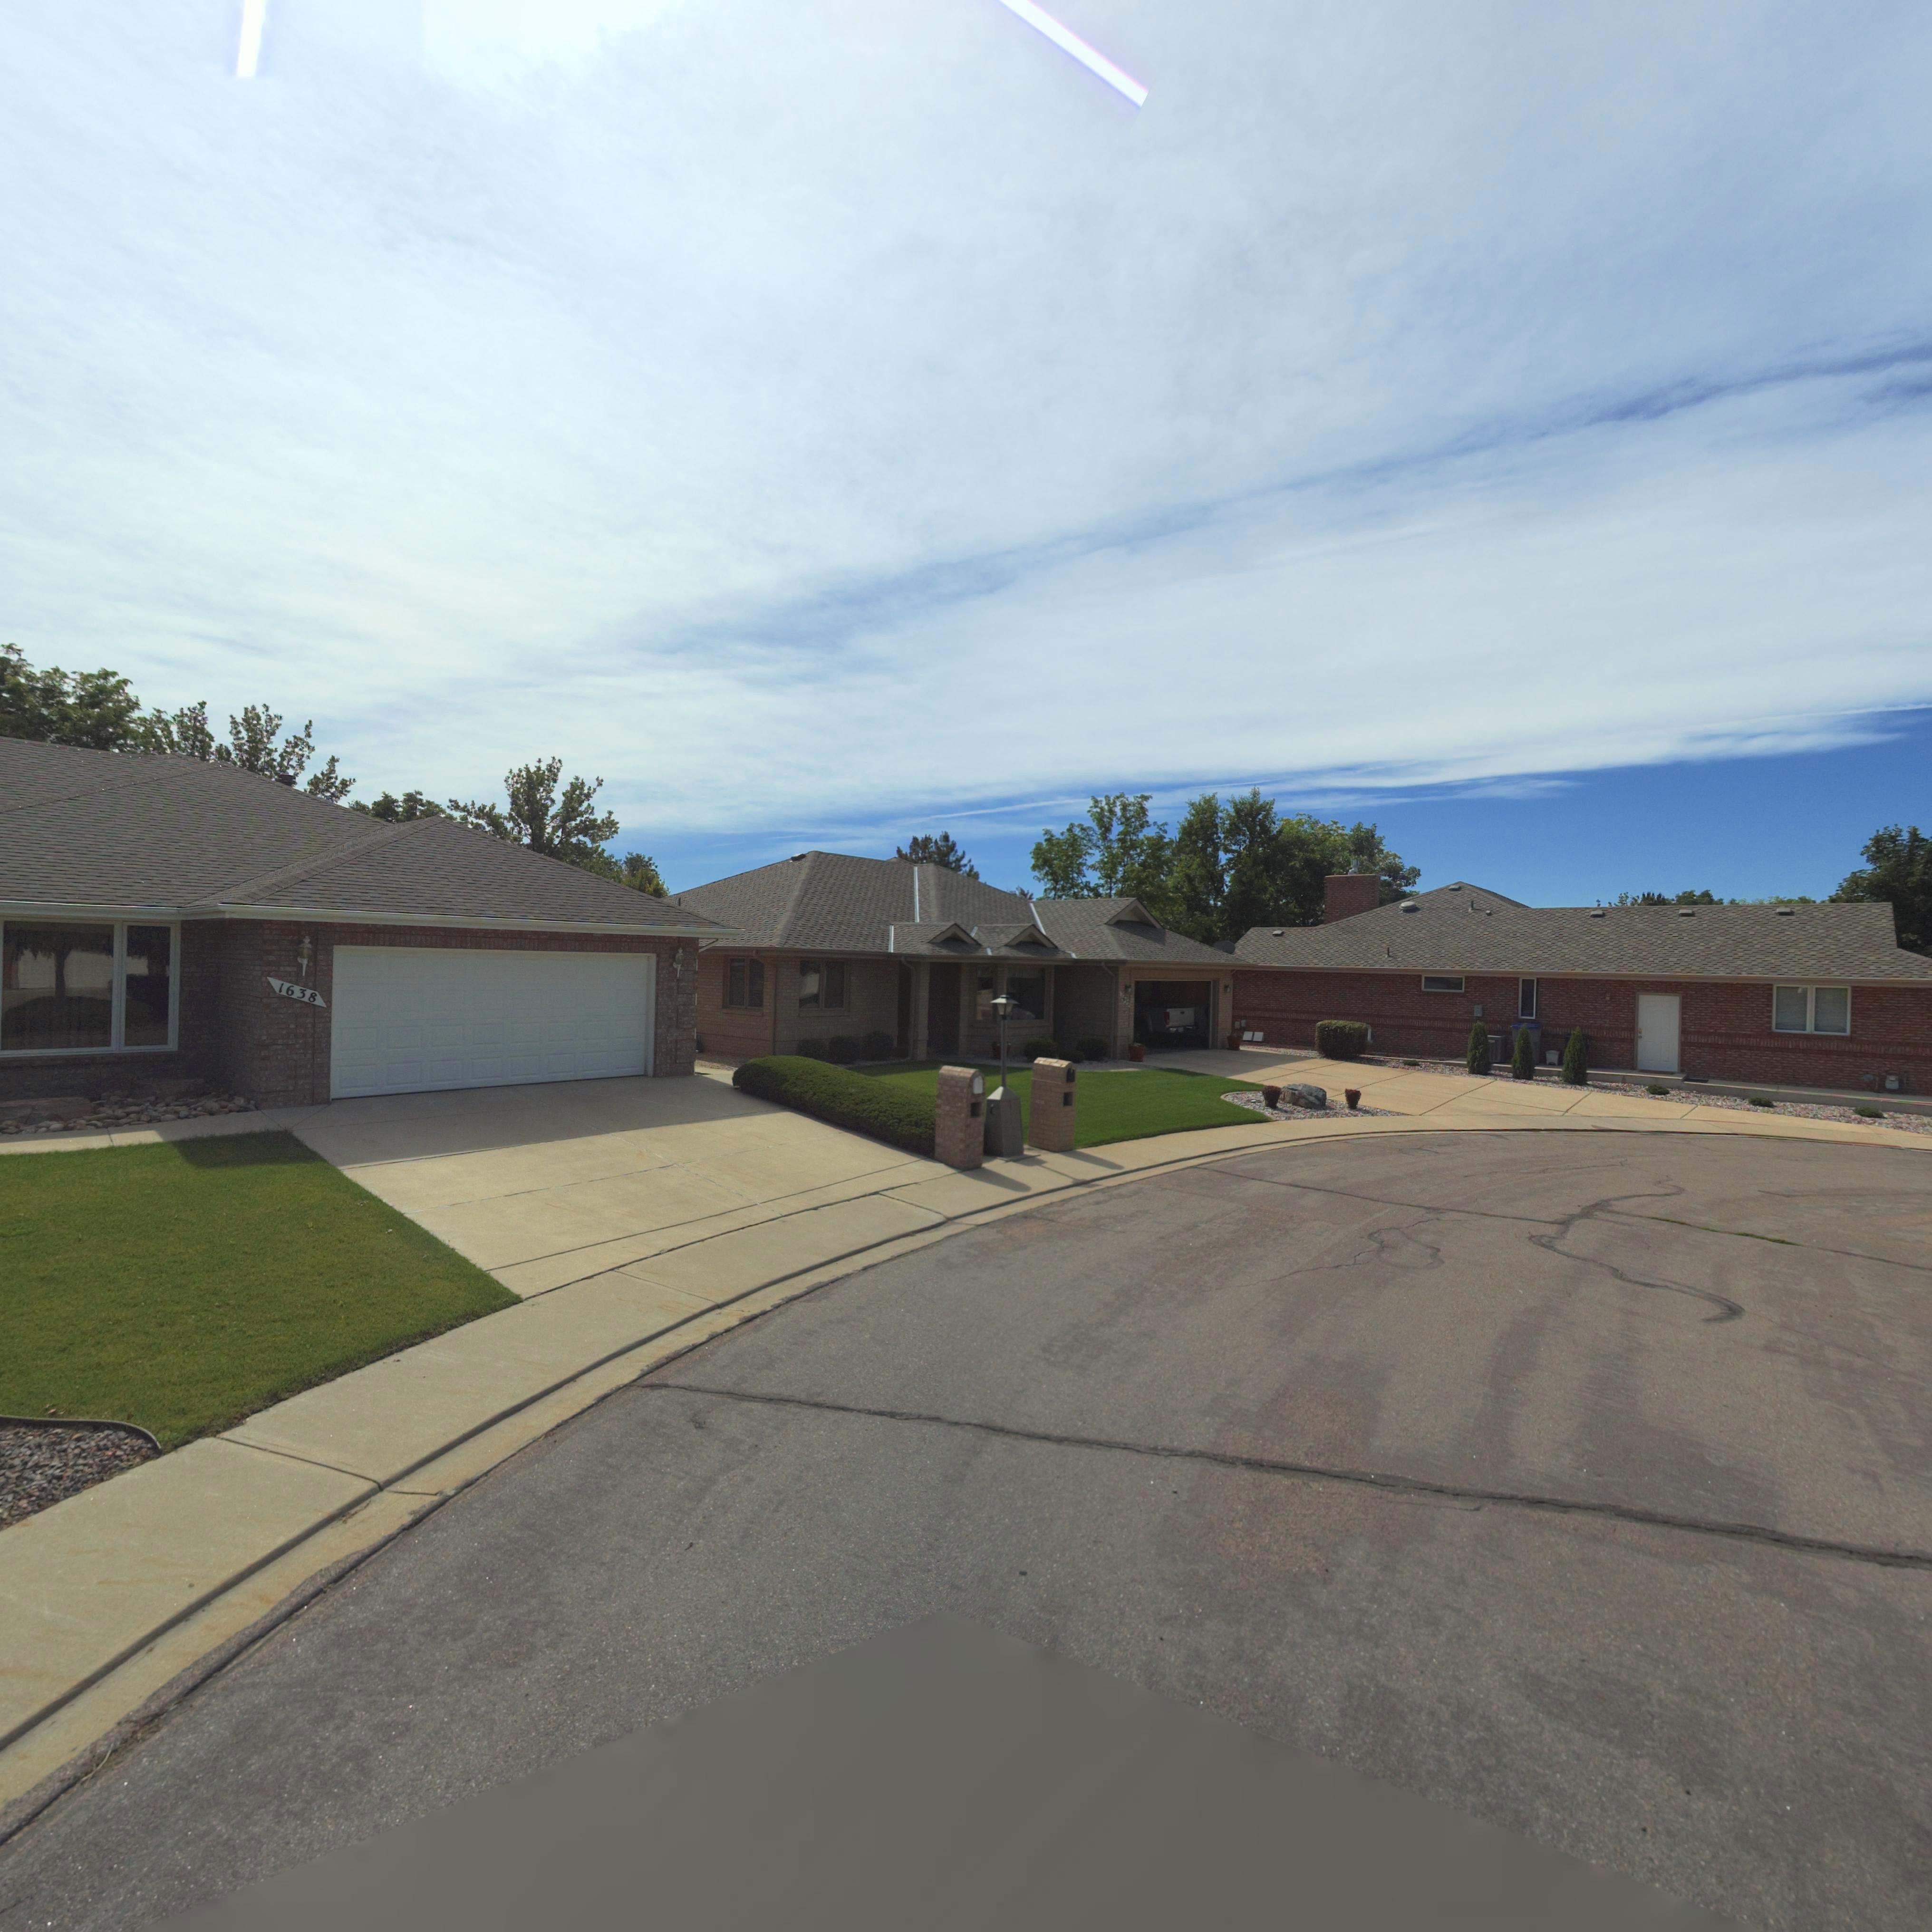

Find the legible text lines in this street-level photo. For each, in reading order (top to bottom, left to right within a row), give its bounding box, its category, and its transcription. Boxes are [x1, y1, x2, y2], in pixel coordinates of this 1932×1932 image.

[278, 983, 317, 1002] StreetNumber: 1638
[1121, 993, 1130, 1005] StreetNumber: 1**2